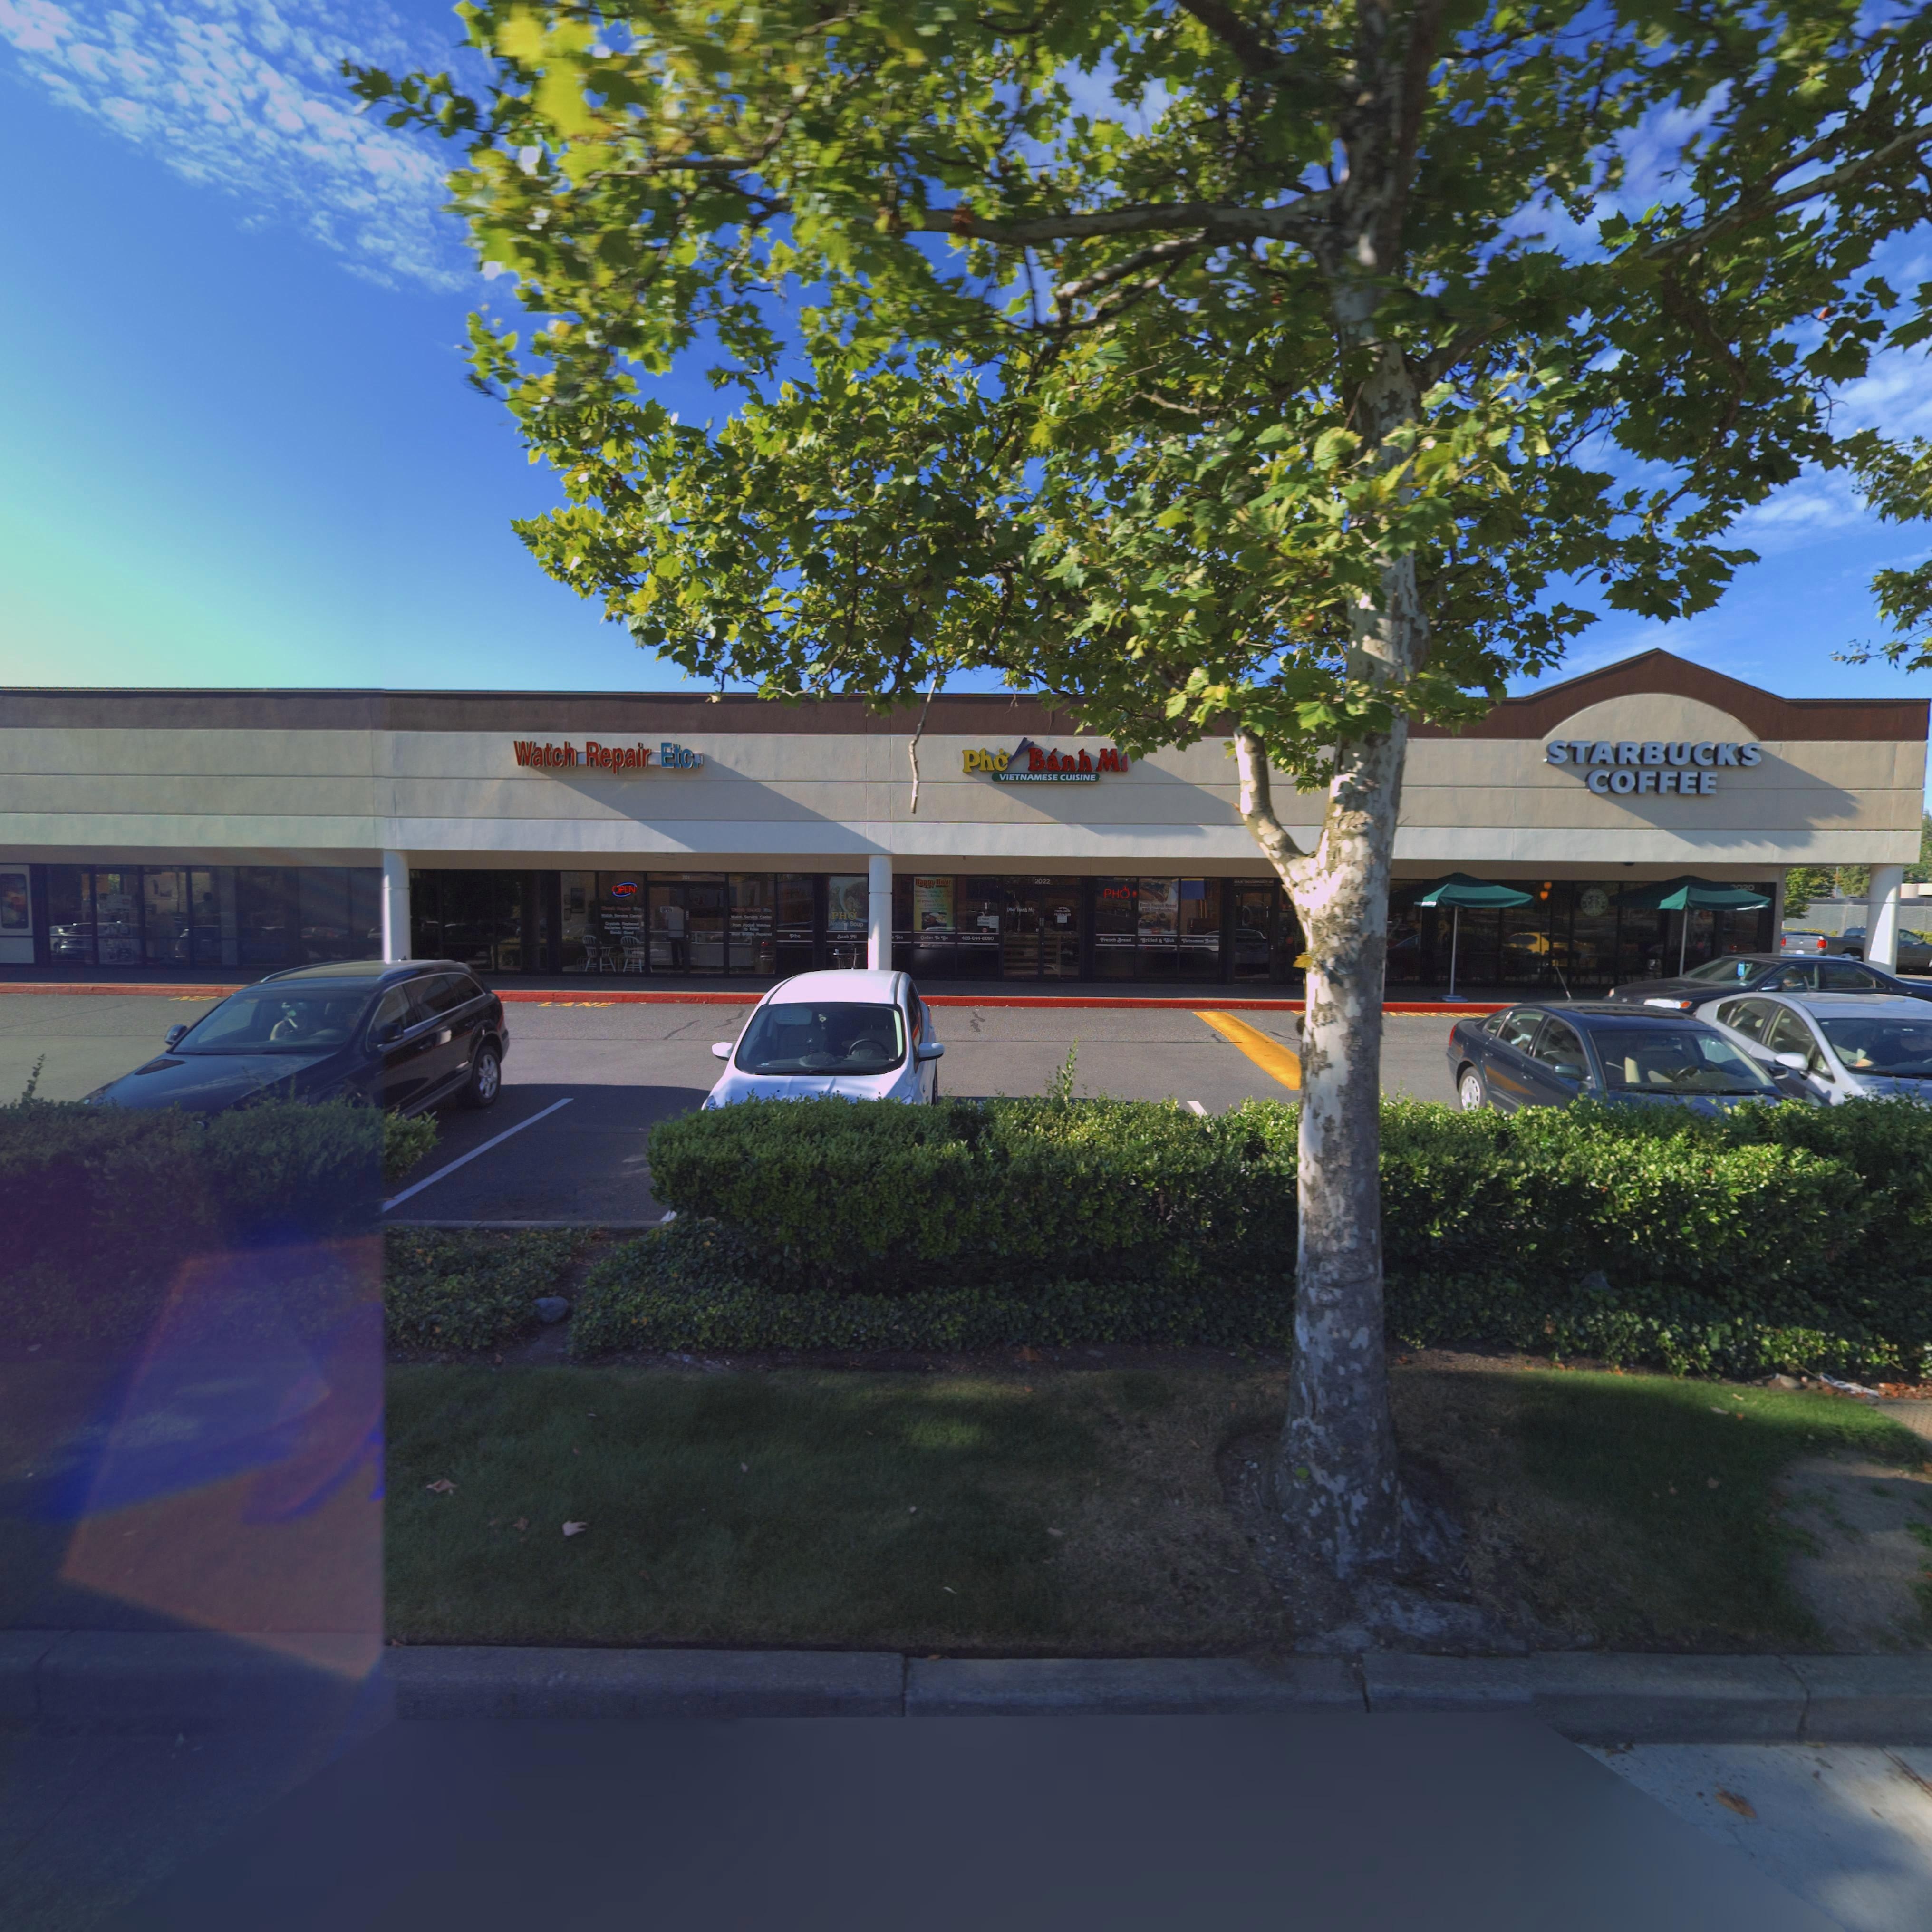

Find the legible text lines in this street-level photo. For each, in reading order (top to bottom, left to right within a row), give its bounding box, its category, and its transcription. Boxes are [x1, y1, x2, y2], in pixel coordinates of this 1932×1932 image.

[514, 740, 693, 771] BusinessName: Watch Repair Etc
[957, 735, 1136, 775] BusinessName: Ph* * B*nh Mi
[1543, 740, 1762, 765] BusinessName: STARBUCKS
[998, 773, 1096, 782] BusinessName: VIETNAMESE CUISINE
[1588, 767, 1718, 794] BusinessName: COFFEE
[1034, 879, 1051, 885] StreetNumber: 2022